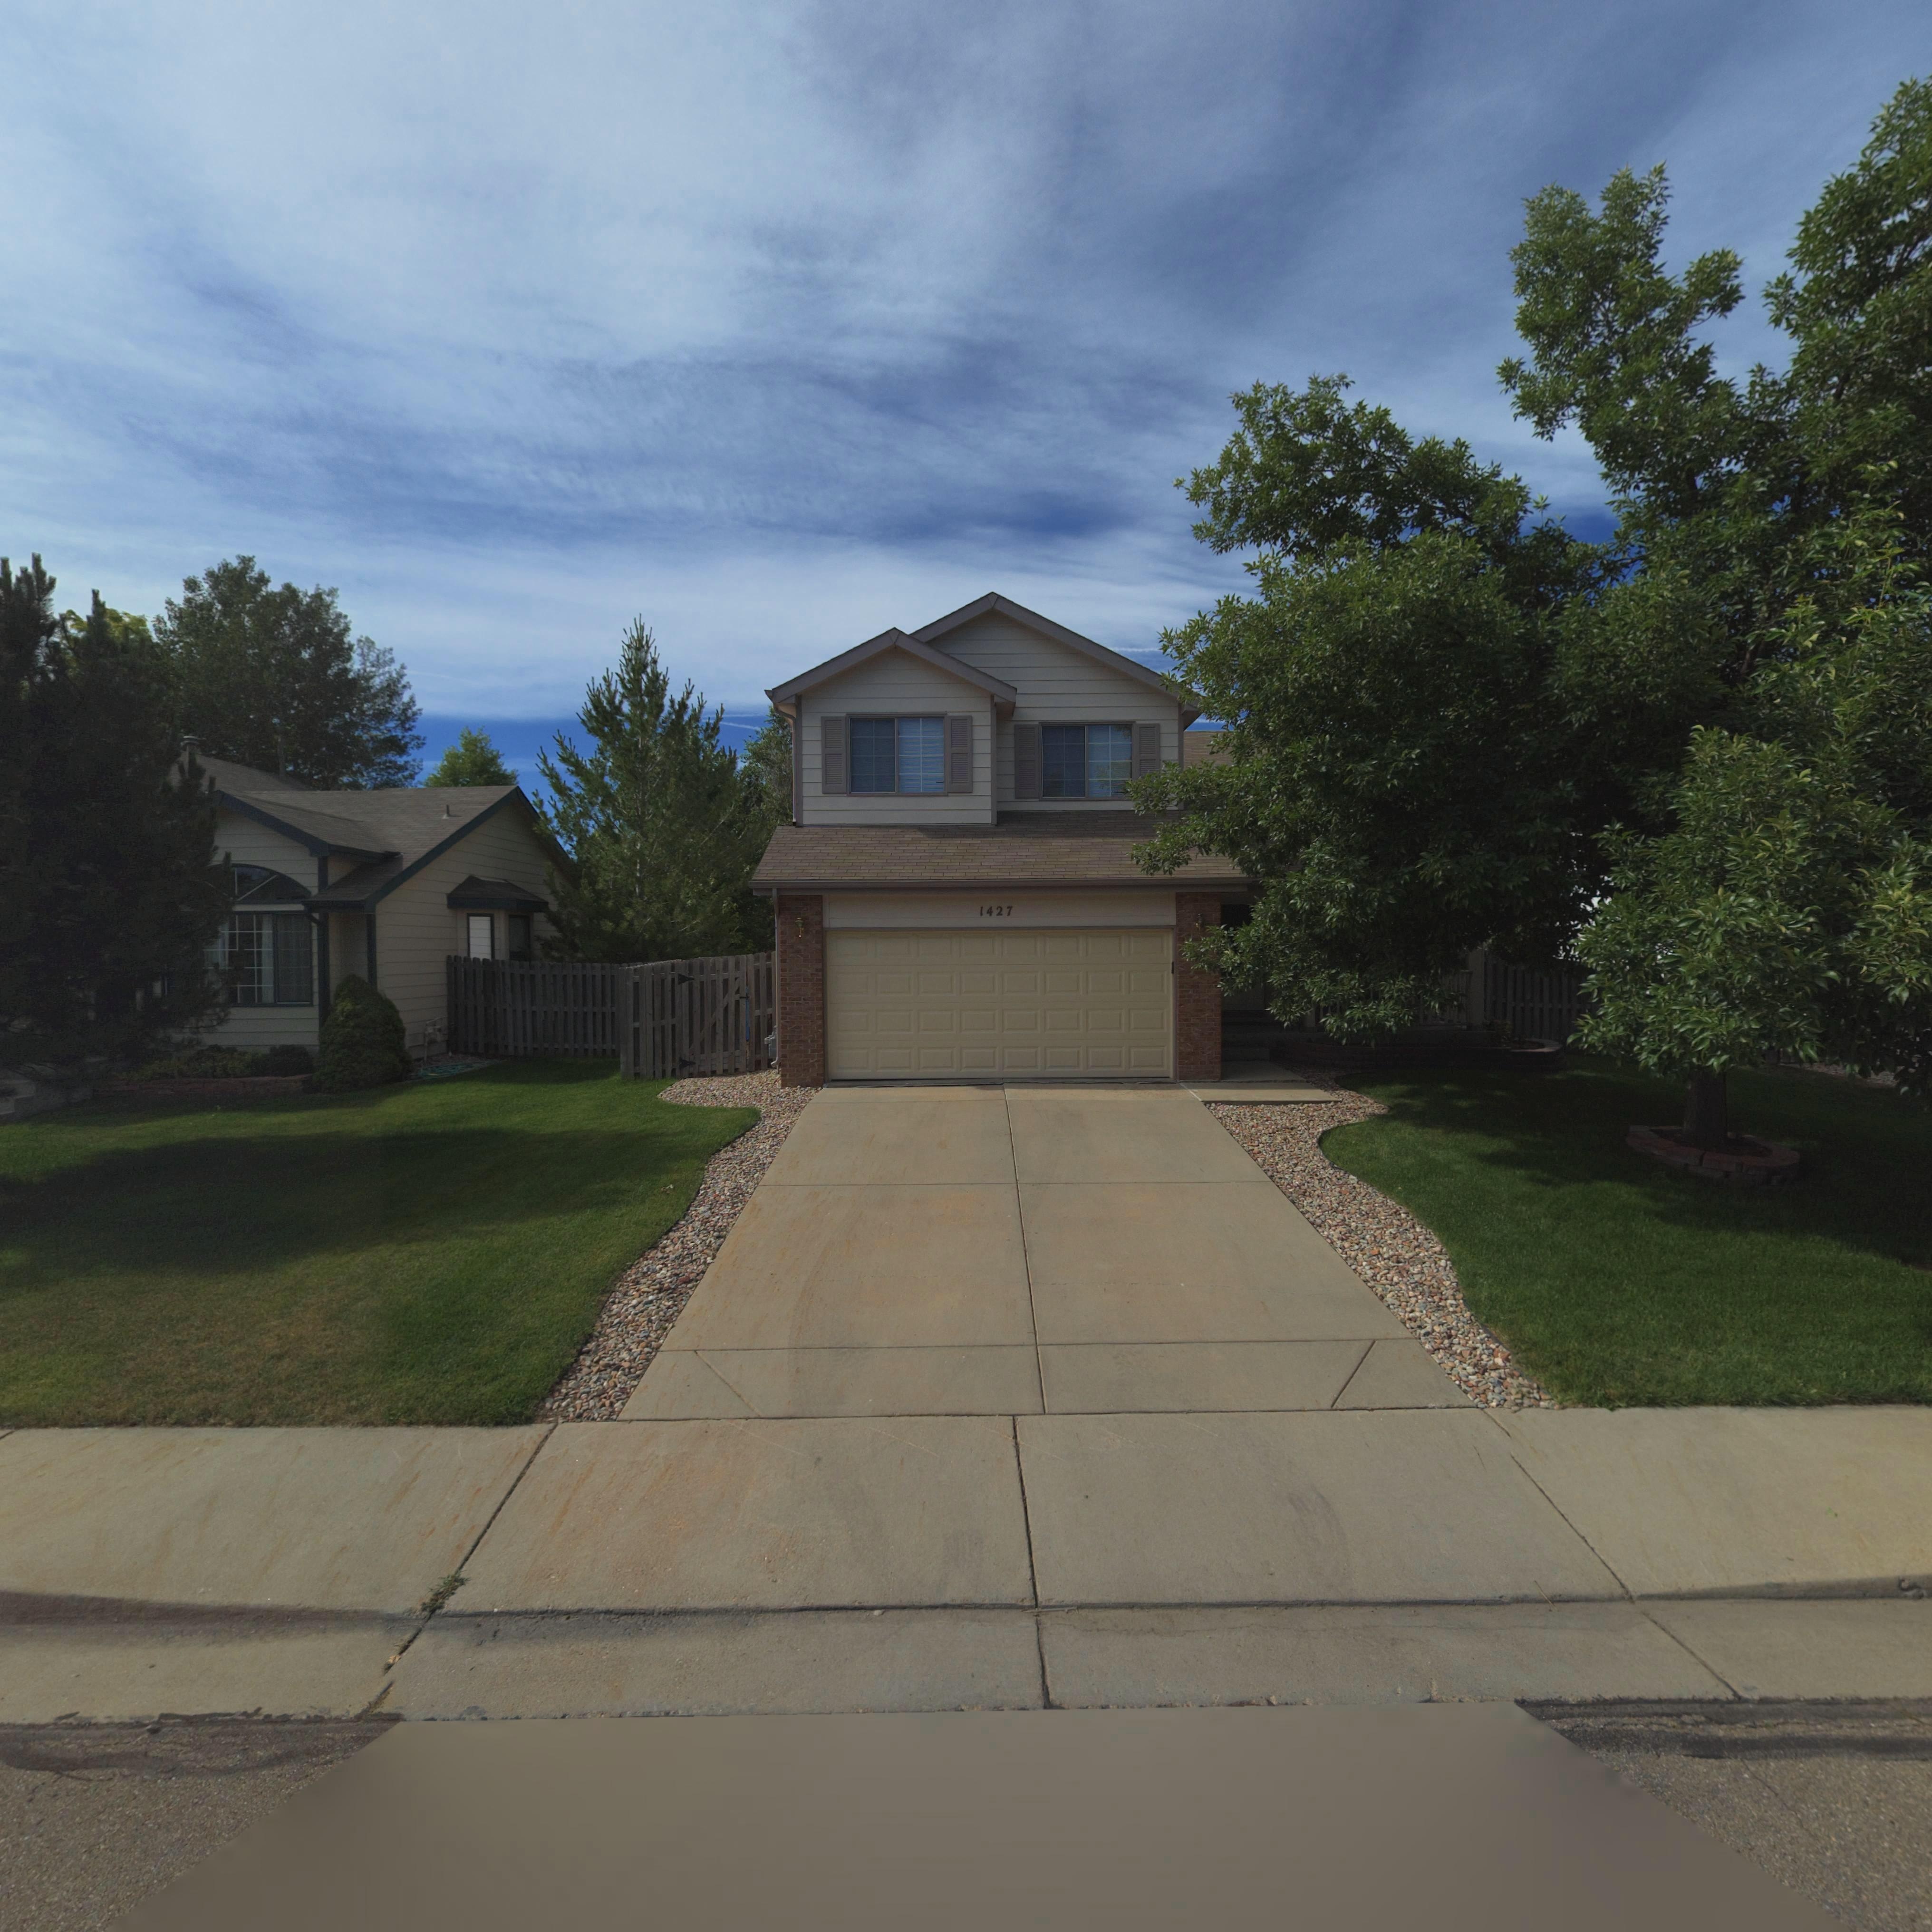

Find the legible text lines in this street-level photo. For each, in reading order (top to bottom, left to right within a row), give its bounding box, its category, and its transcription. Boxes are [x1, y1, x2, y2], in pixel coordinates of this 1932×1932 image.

[979, 906, 1014, 917] StreetNumber: 1427